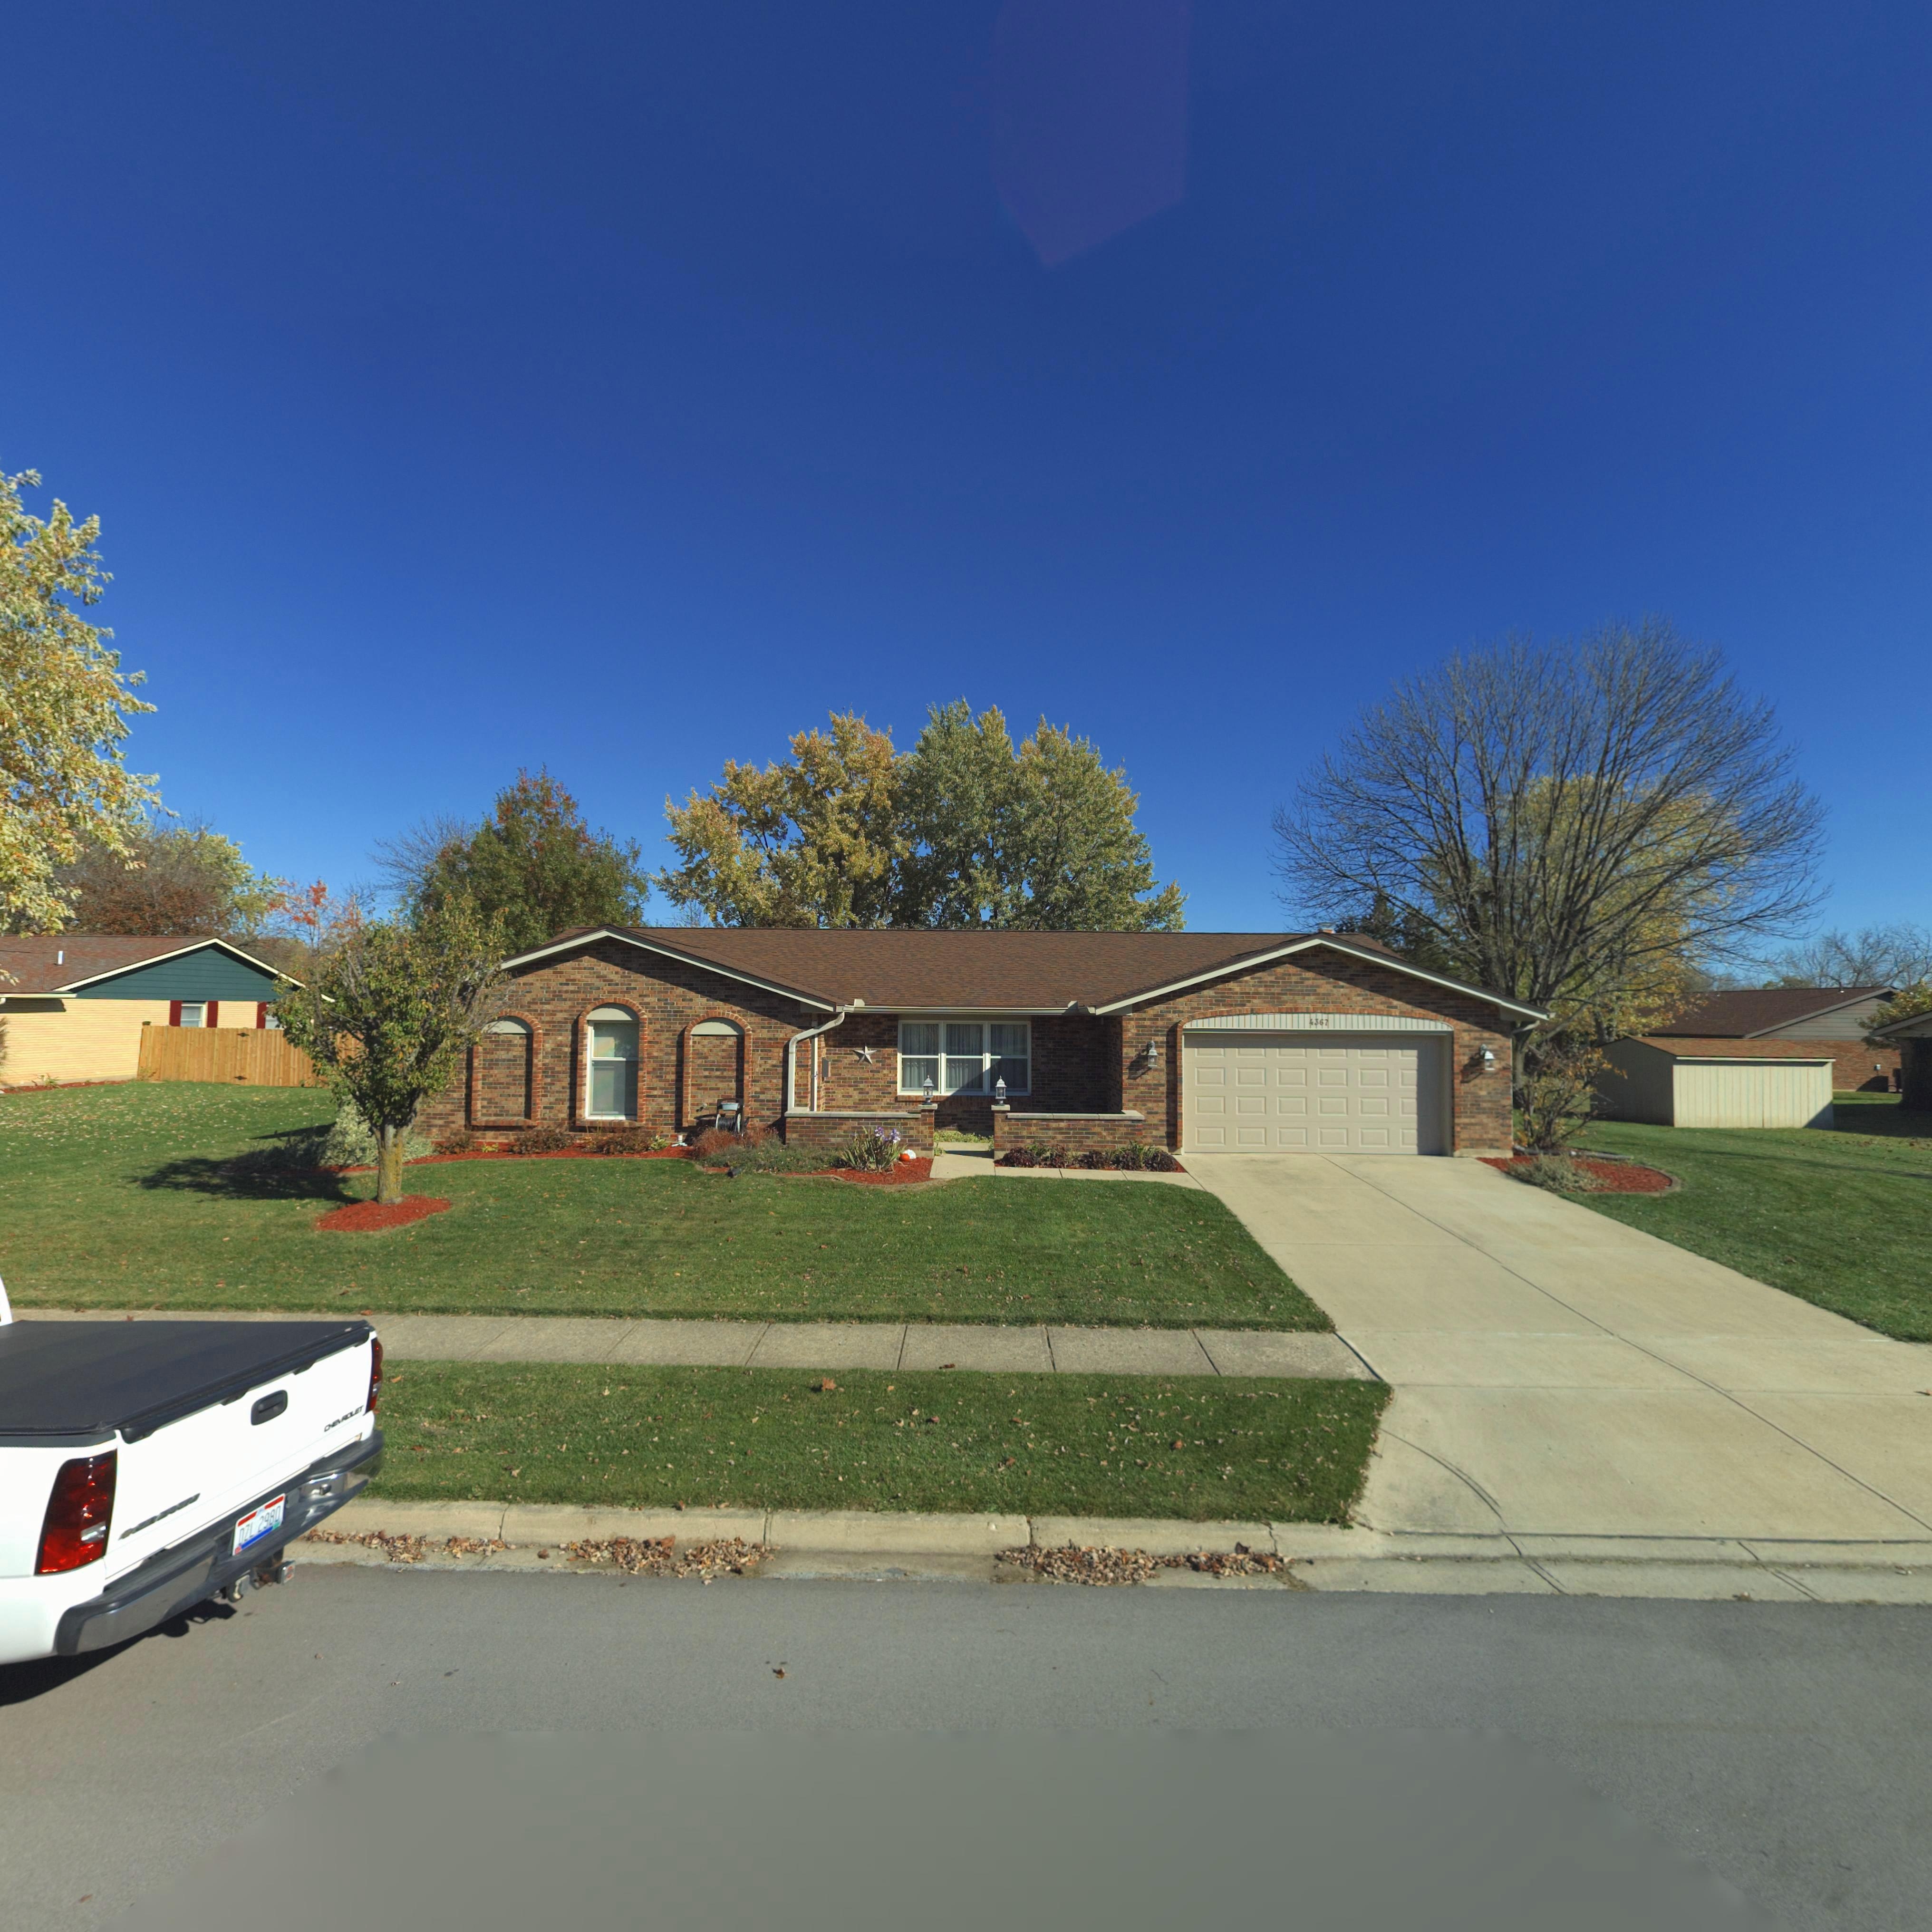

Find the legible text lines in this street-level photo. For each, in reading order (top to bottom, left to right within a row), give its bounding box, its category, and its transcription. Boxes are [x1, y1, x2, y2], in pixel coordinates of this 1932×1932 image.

[1308, 1018, 1329, 1025] StreetNumber: 4367